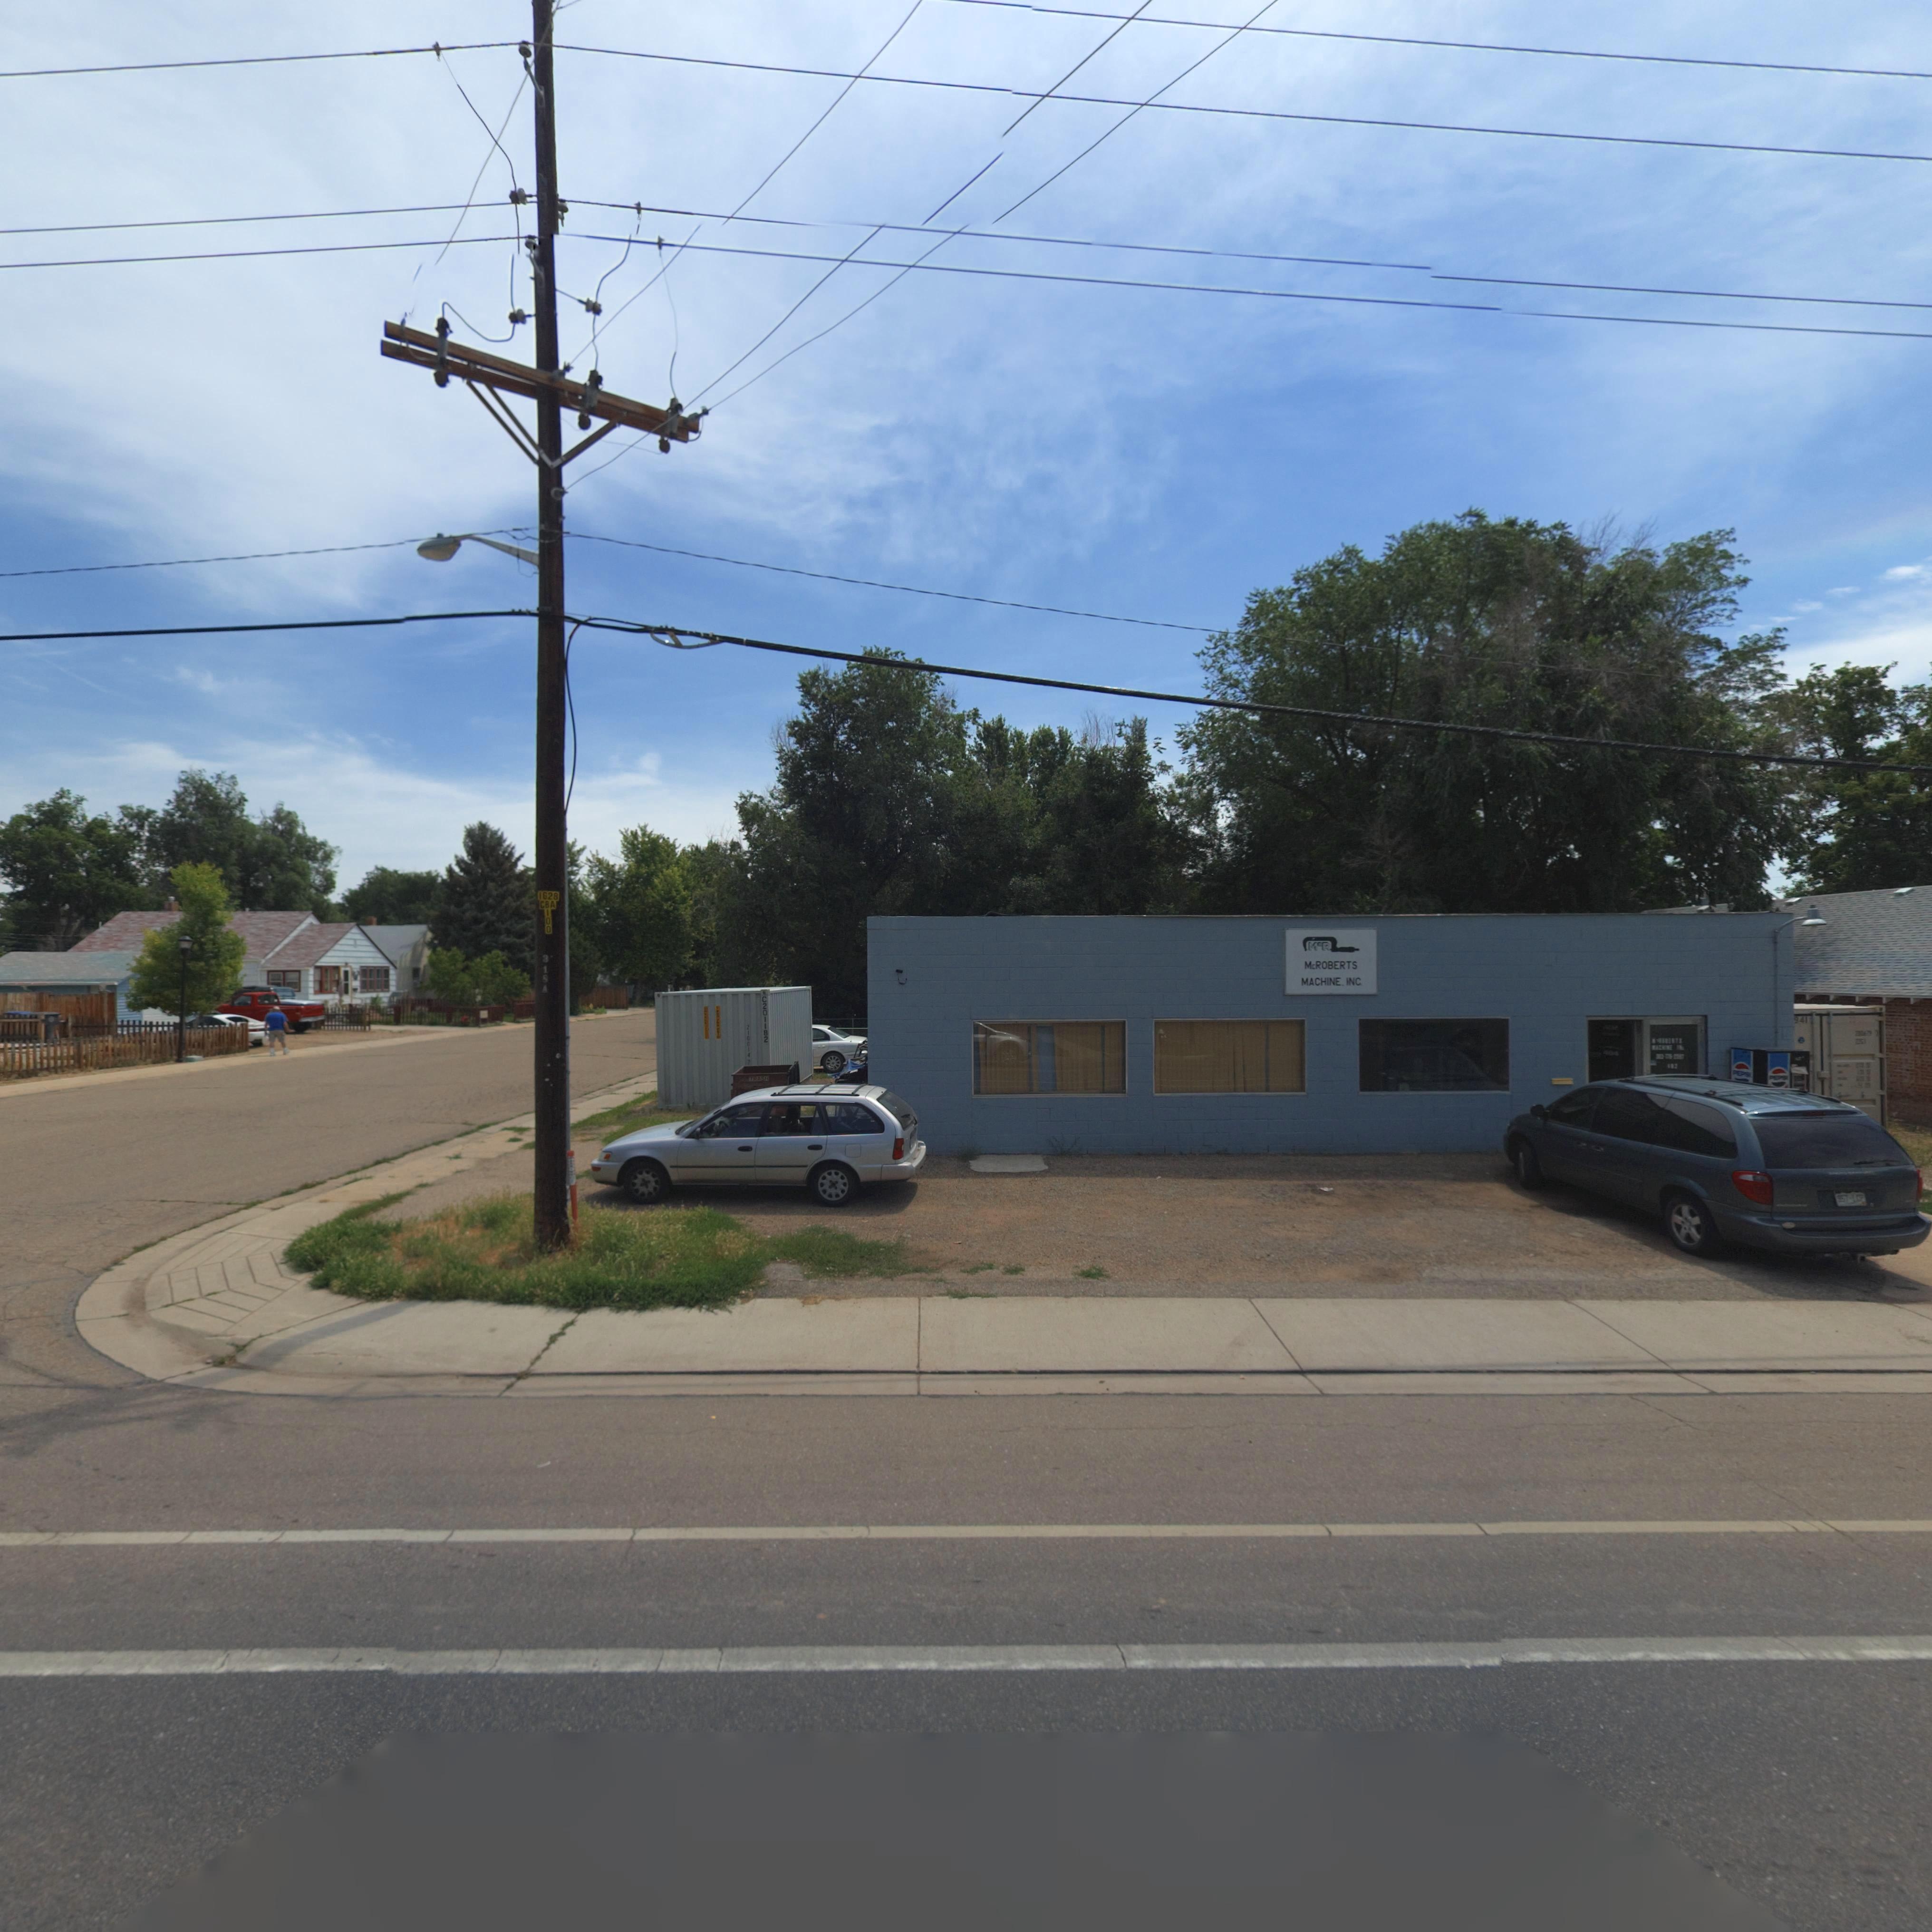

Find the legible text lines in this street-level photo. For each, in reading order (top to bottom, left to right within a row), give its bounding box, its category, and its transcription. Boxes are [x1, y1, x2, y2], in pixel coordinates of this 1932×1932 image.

[1308, 941, 1330, 951] BusinessName: M*R
[1304, 961, 1358, 969] BusinessName: McROBERTS
[1301, 977, 1362, 986] BusinessName: MACHINE. INC
[1604, 1024, 1619, 1031] StreetNumber: **2
[1603, 1050, 1619, 1056] StreetNumber: 404